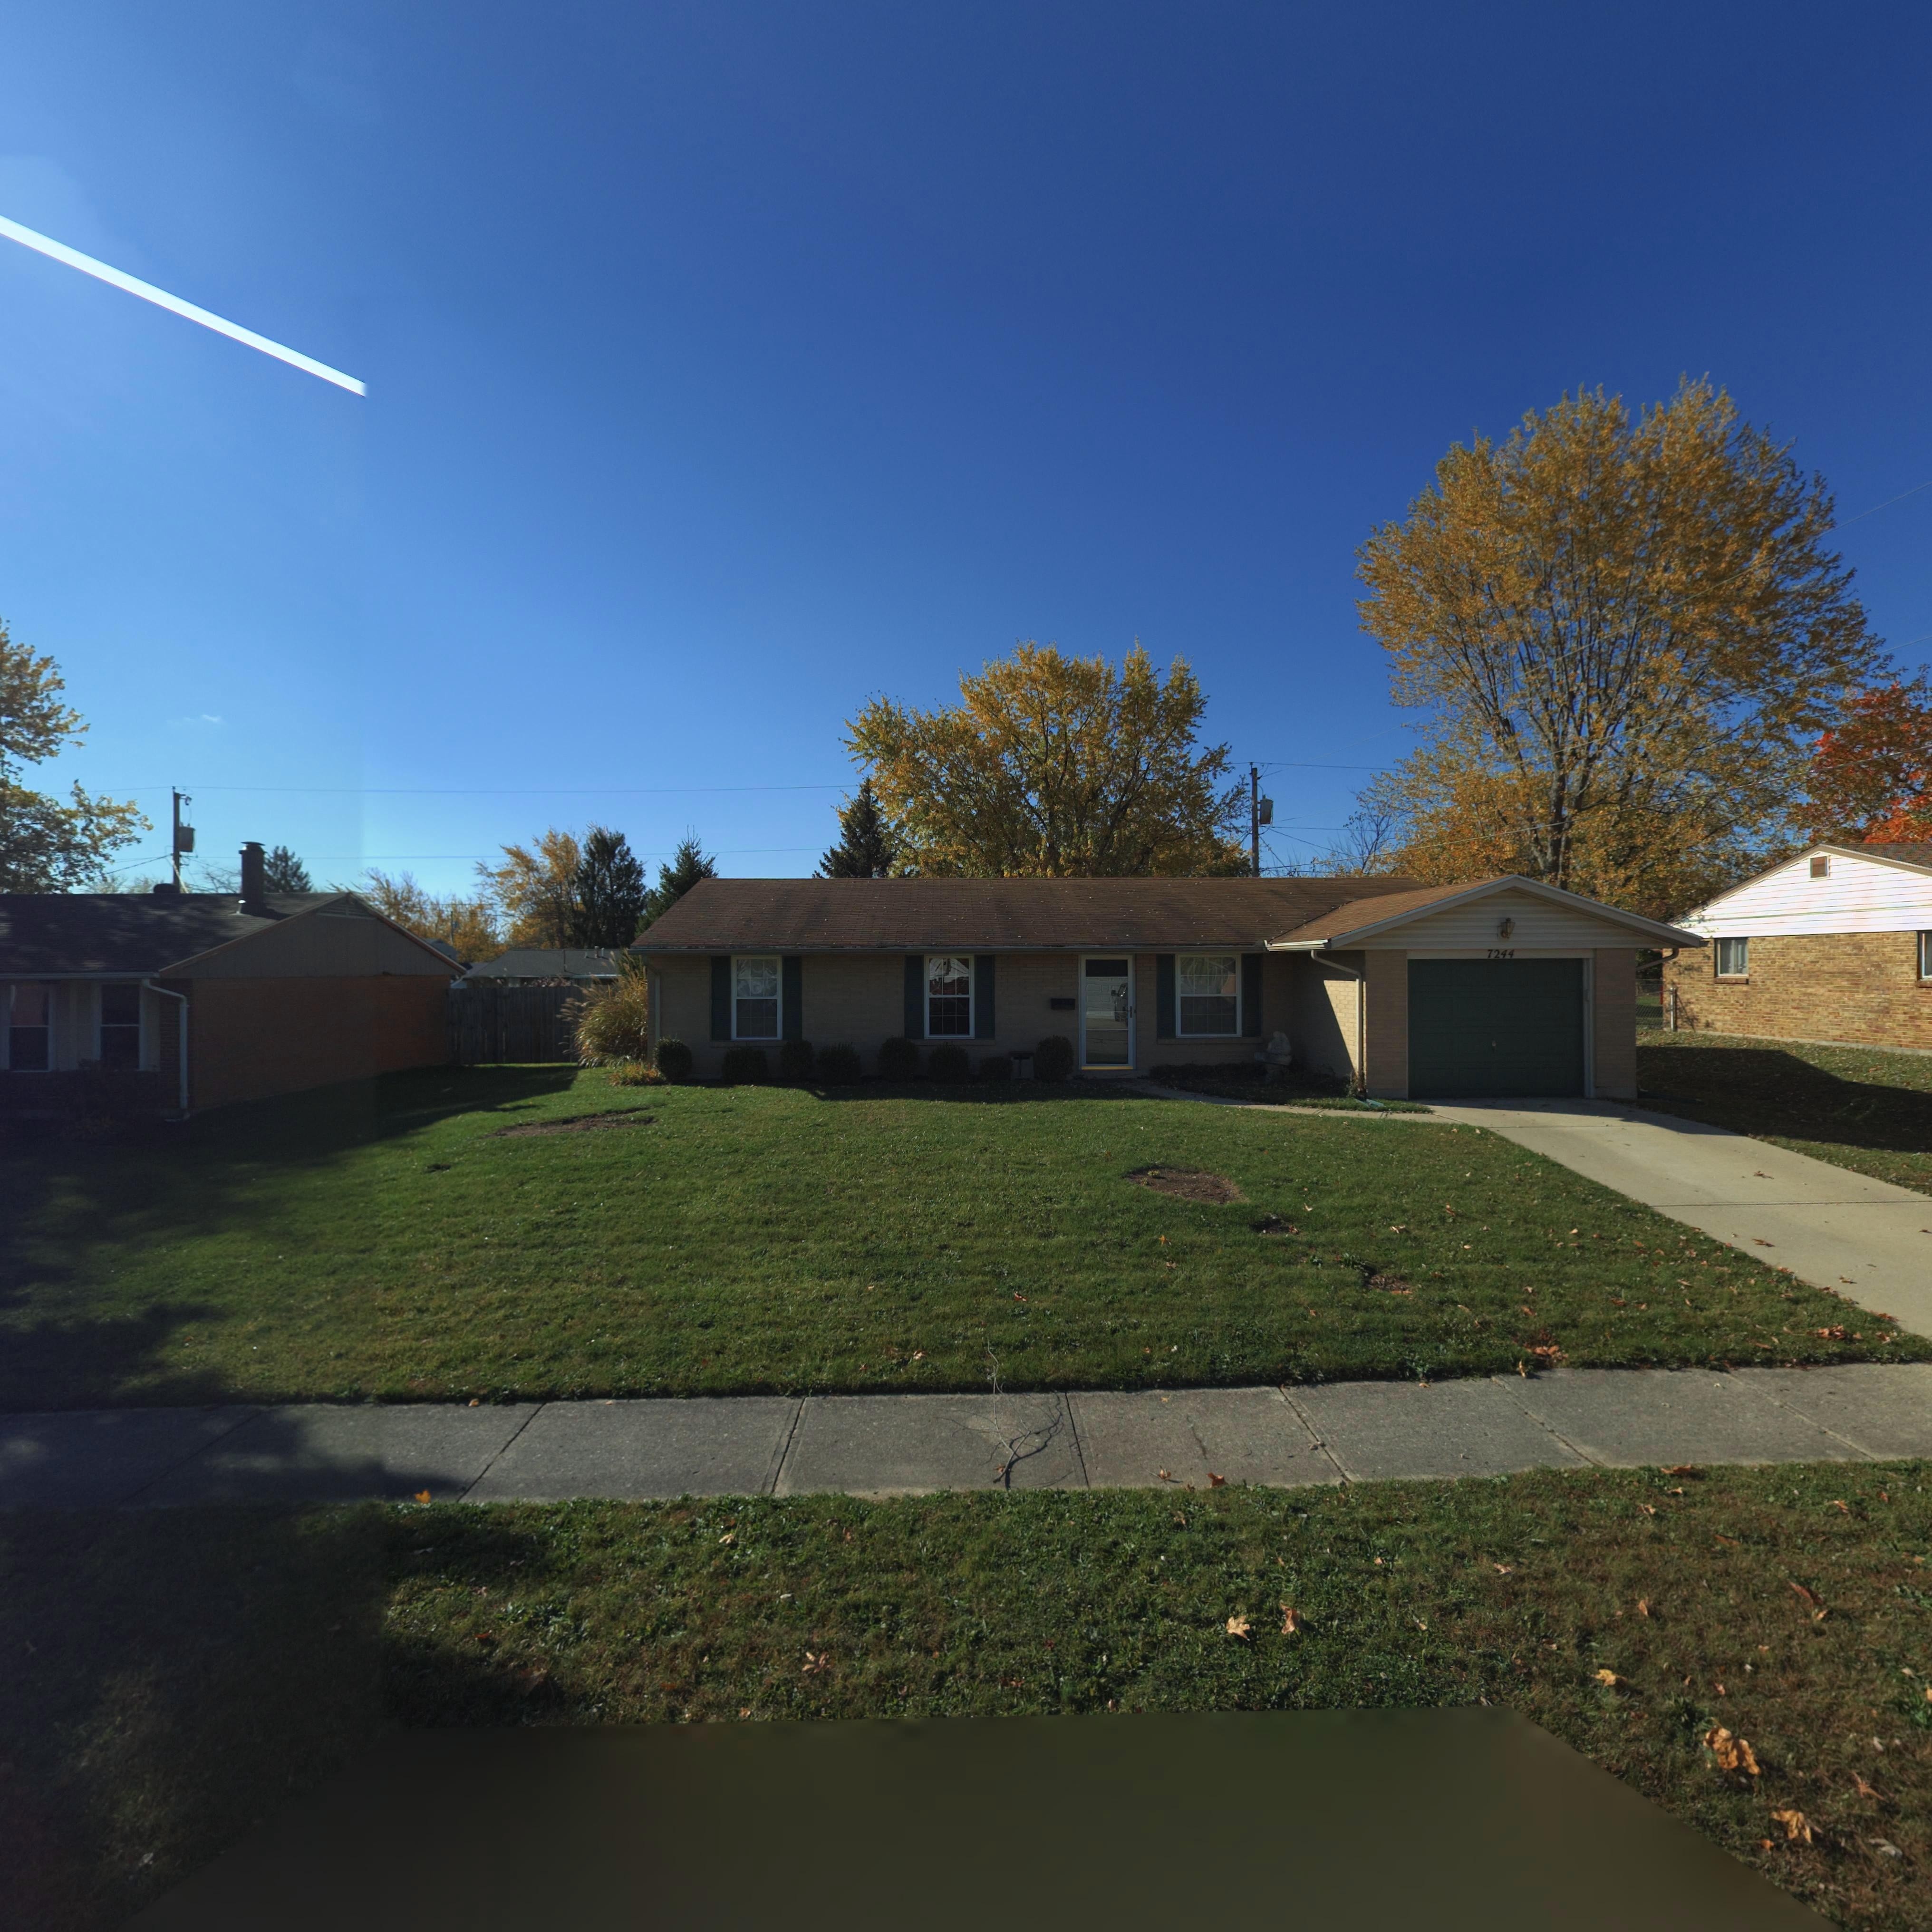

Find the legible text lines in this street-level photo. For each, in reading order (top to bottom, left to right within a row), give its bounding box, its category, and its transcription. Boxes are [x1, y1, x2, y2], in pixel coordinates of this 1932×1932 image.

[1487, 948, 1515, 960] StreetNumber: 7244